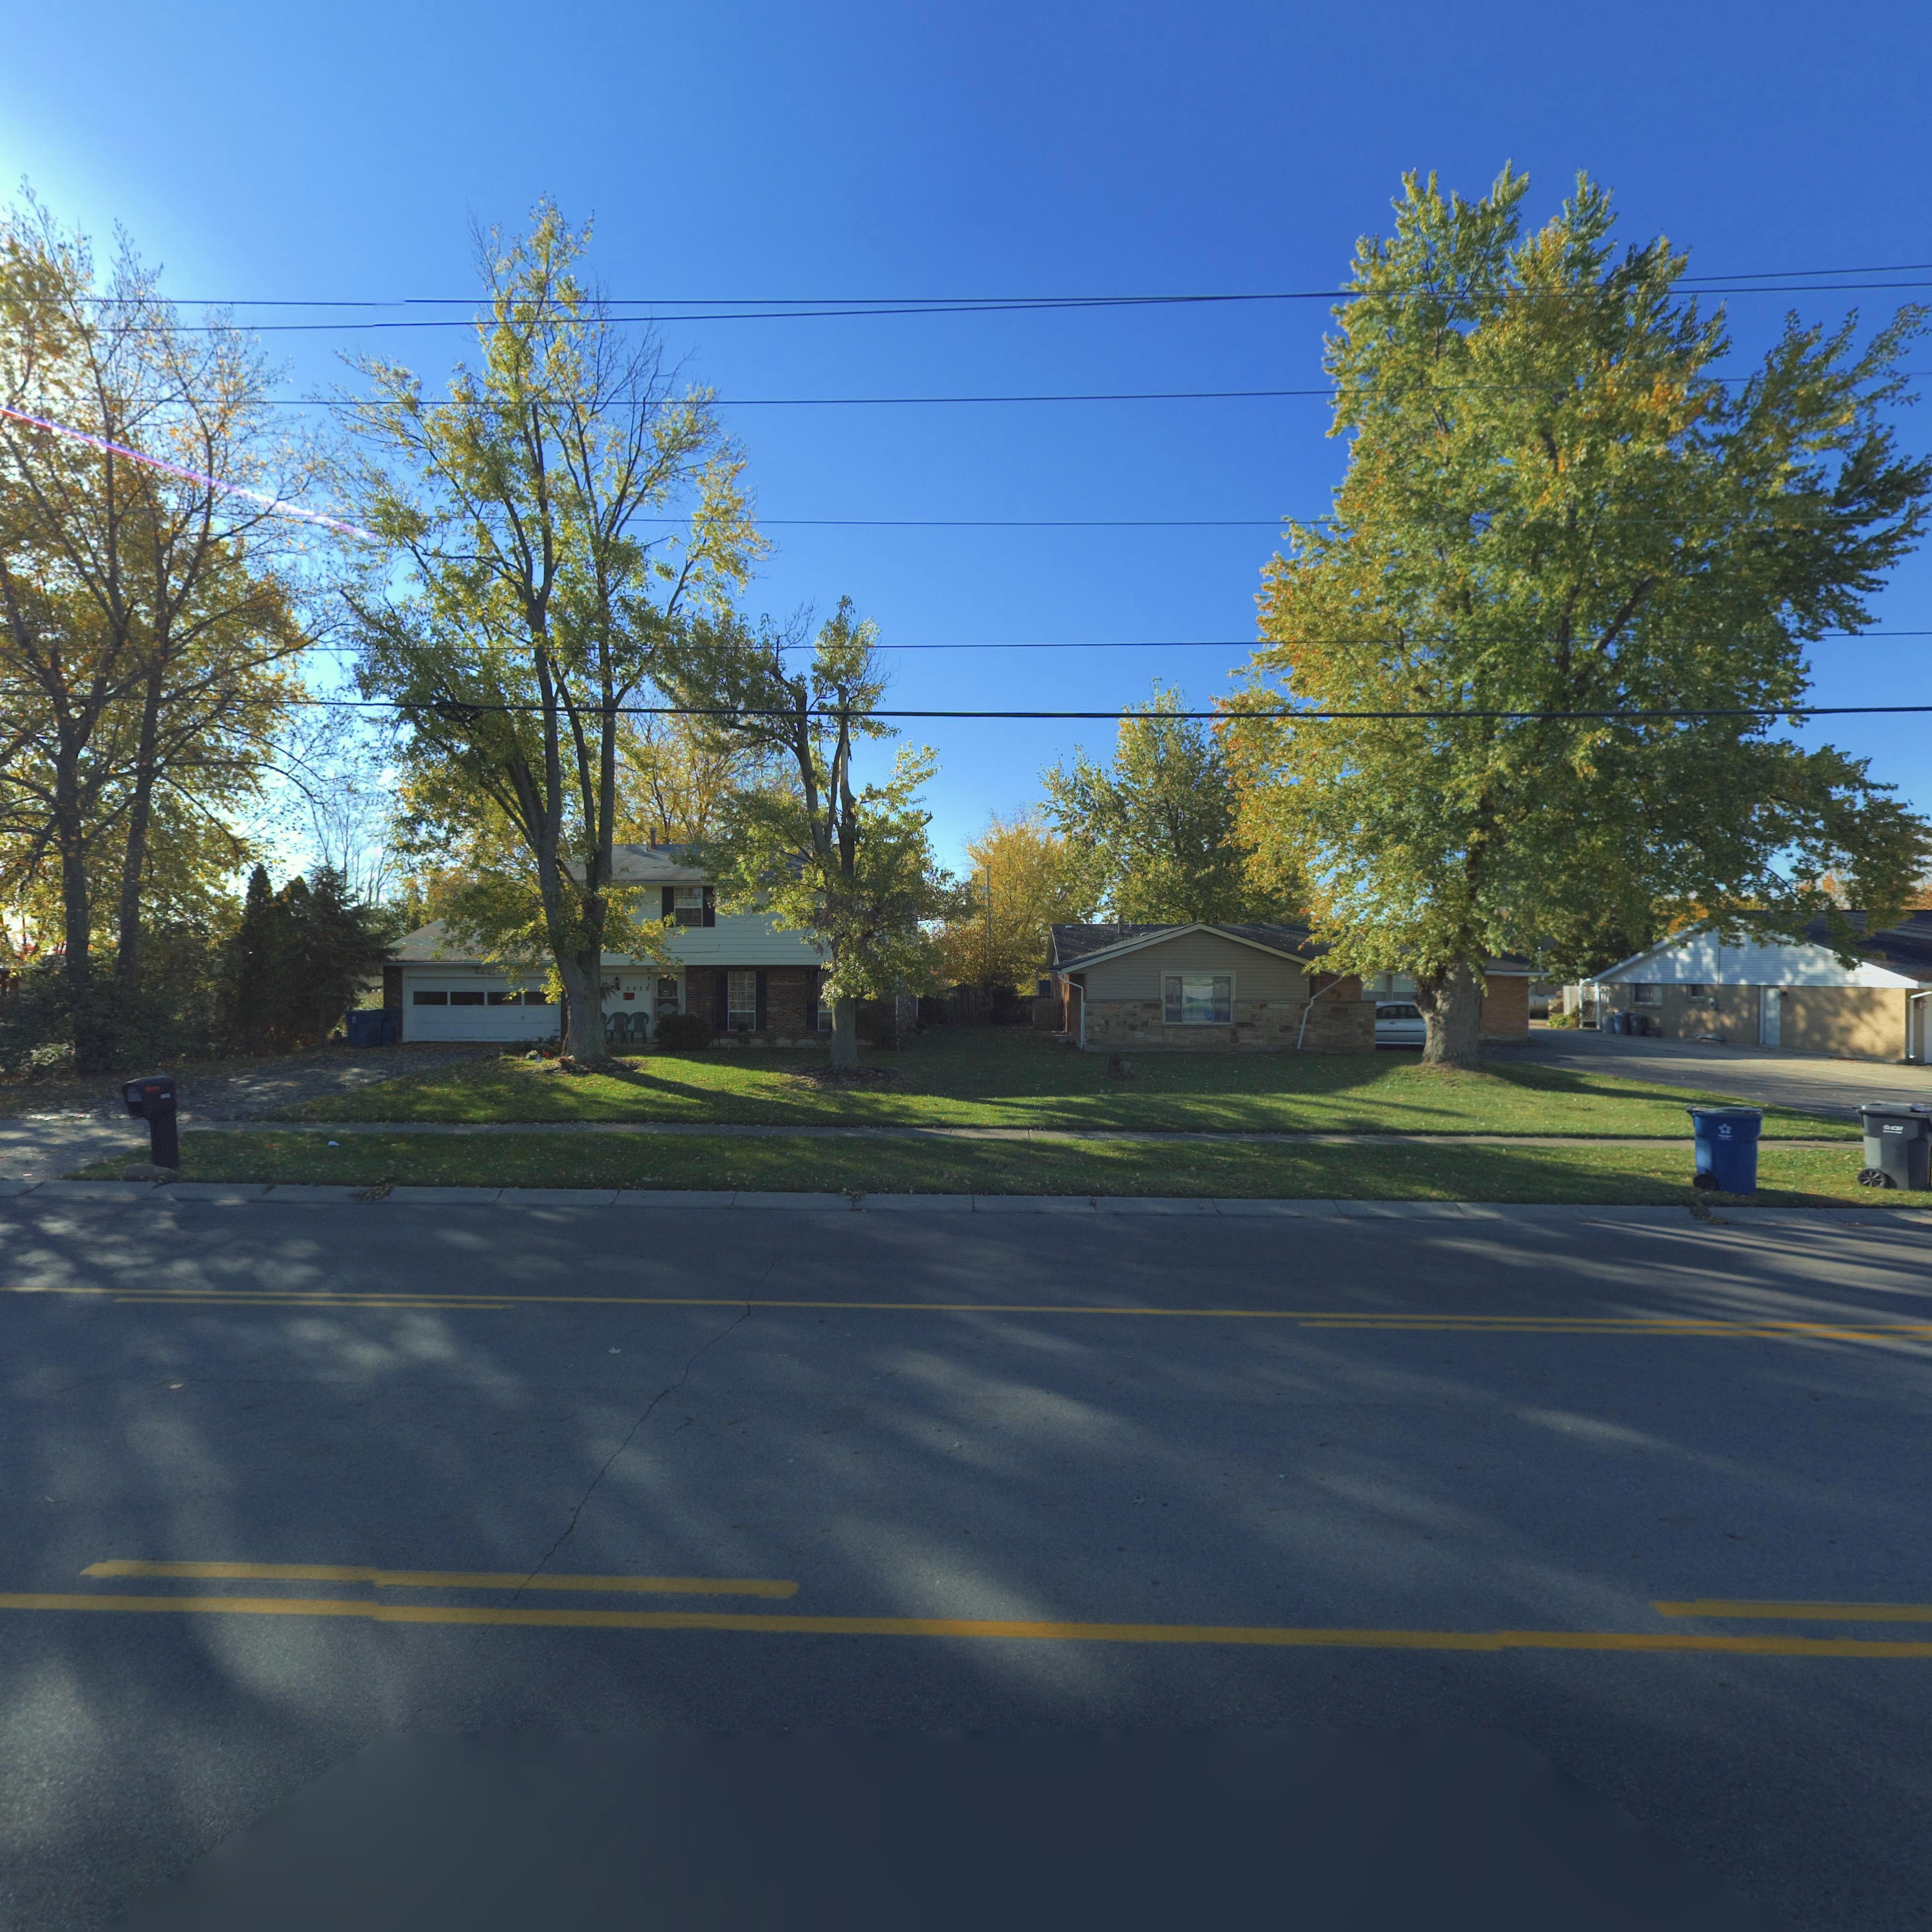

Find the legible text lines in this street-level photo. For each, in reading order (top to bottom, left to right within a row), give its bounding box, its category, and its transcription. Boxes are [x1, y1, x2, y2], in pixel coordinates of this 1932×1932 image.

[626, 986, 649, 991] StreetNumber: 5930
[1319, 980, 1342, 999] StreetNumber: **2*